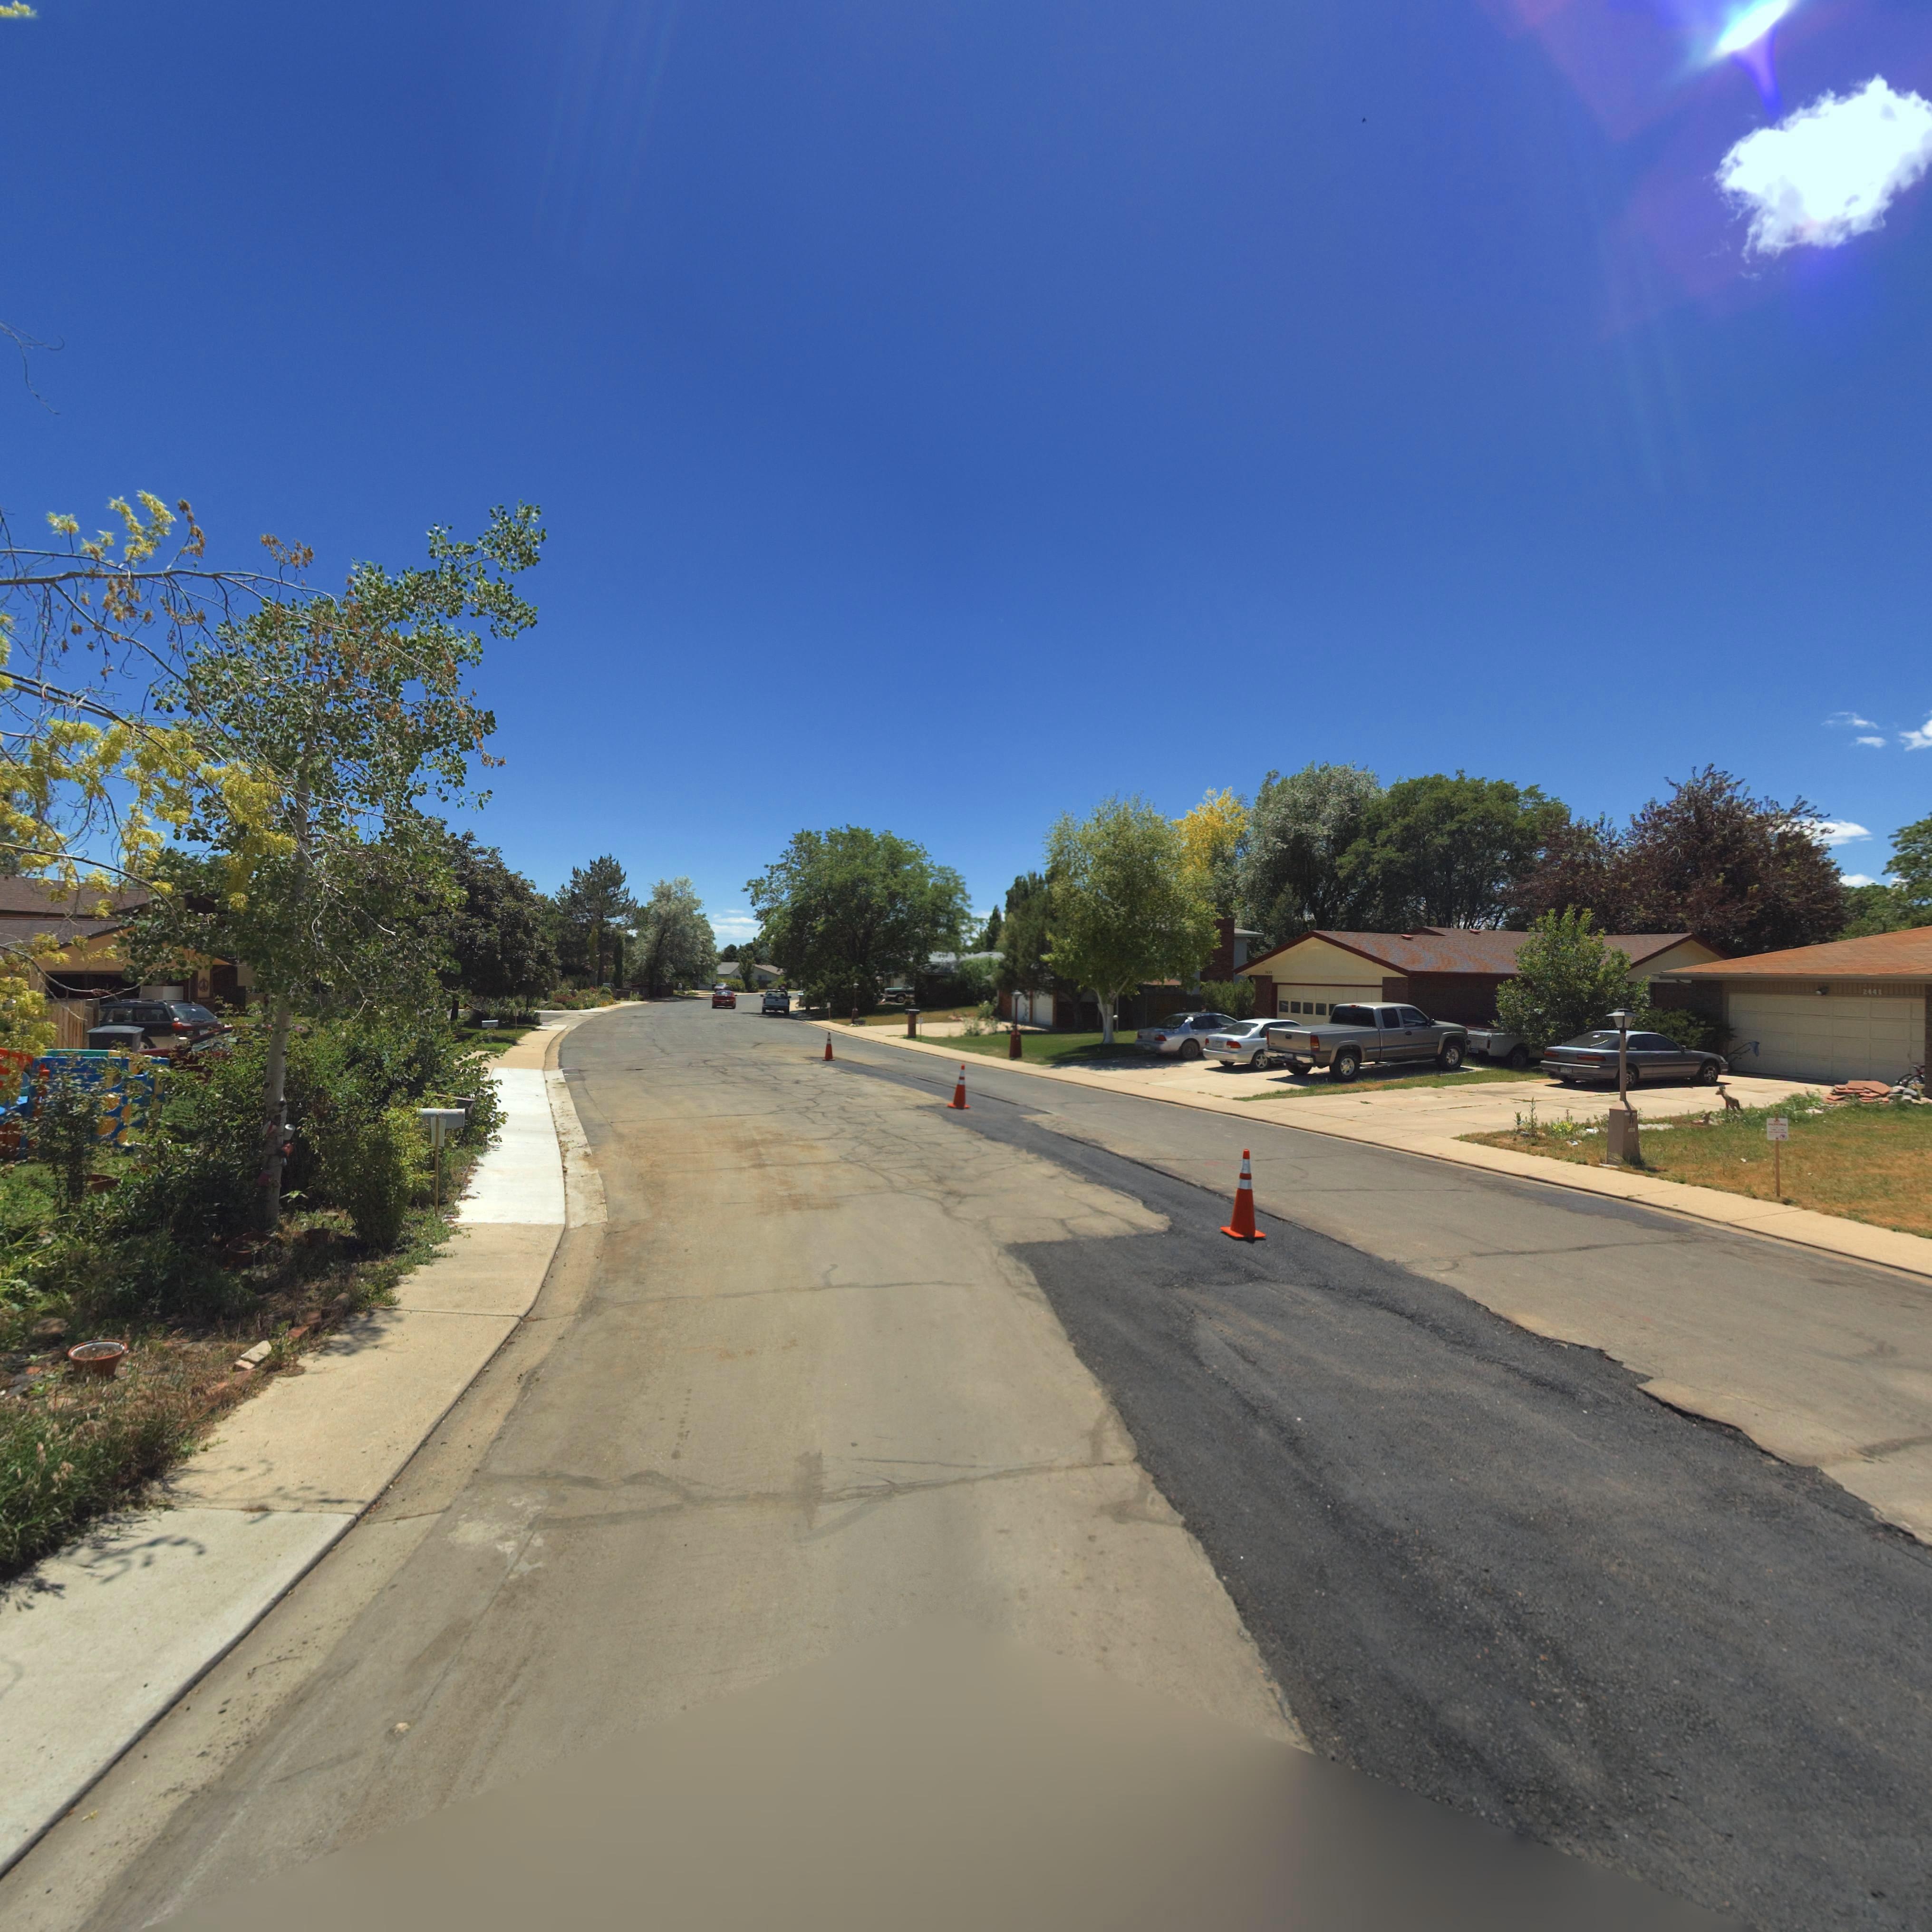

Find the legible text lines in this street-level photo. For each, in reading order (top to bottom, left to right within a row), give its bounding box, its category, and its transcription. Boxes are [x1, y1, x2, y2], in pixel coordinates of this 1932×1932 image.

[1265, 970, 1273, 974] StreetNumber: 26**
[1862, 988, 1883, 994] StreetNumber: 2441